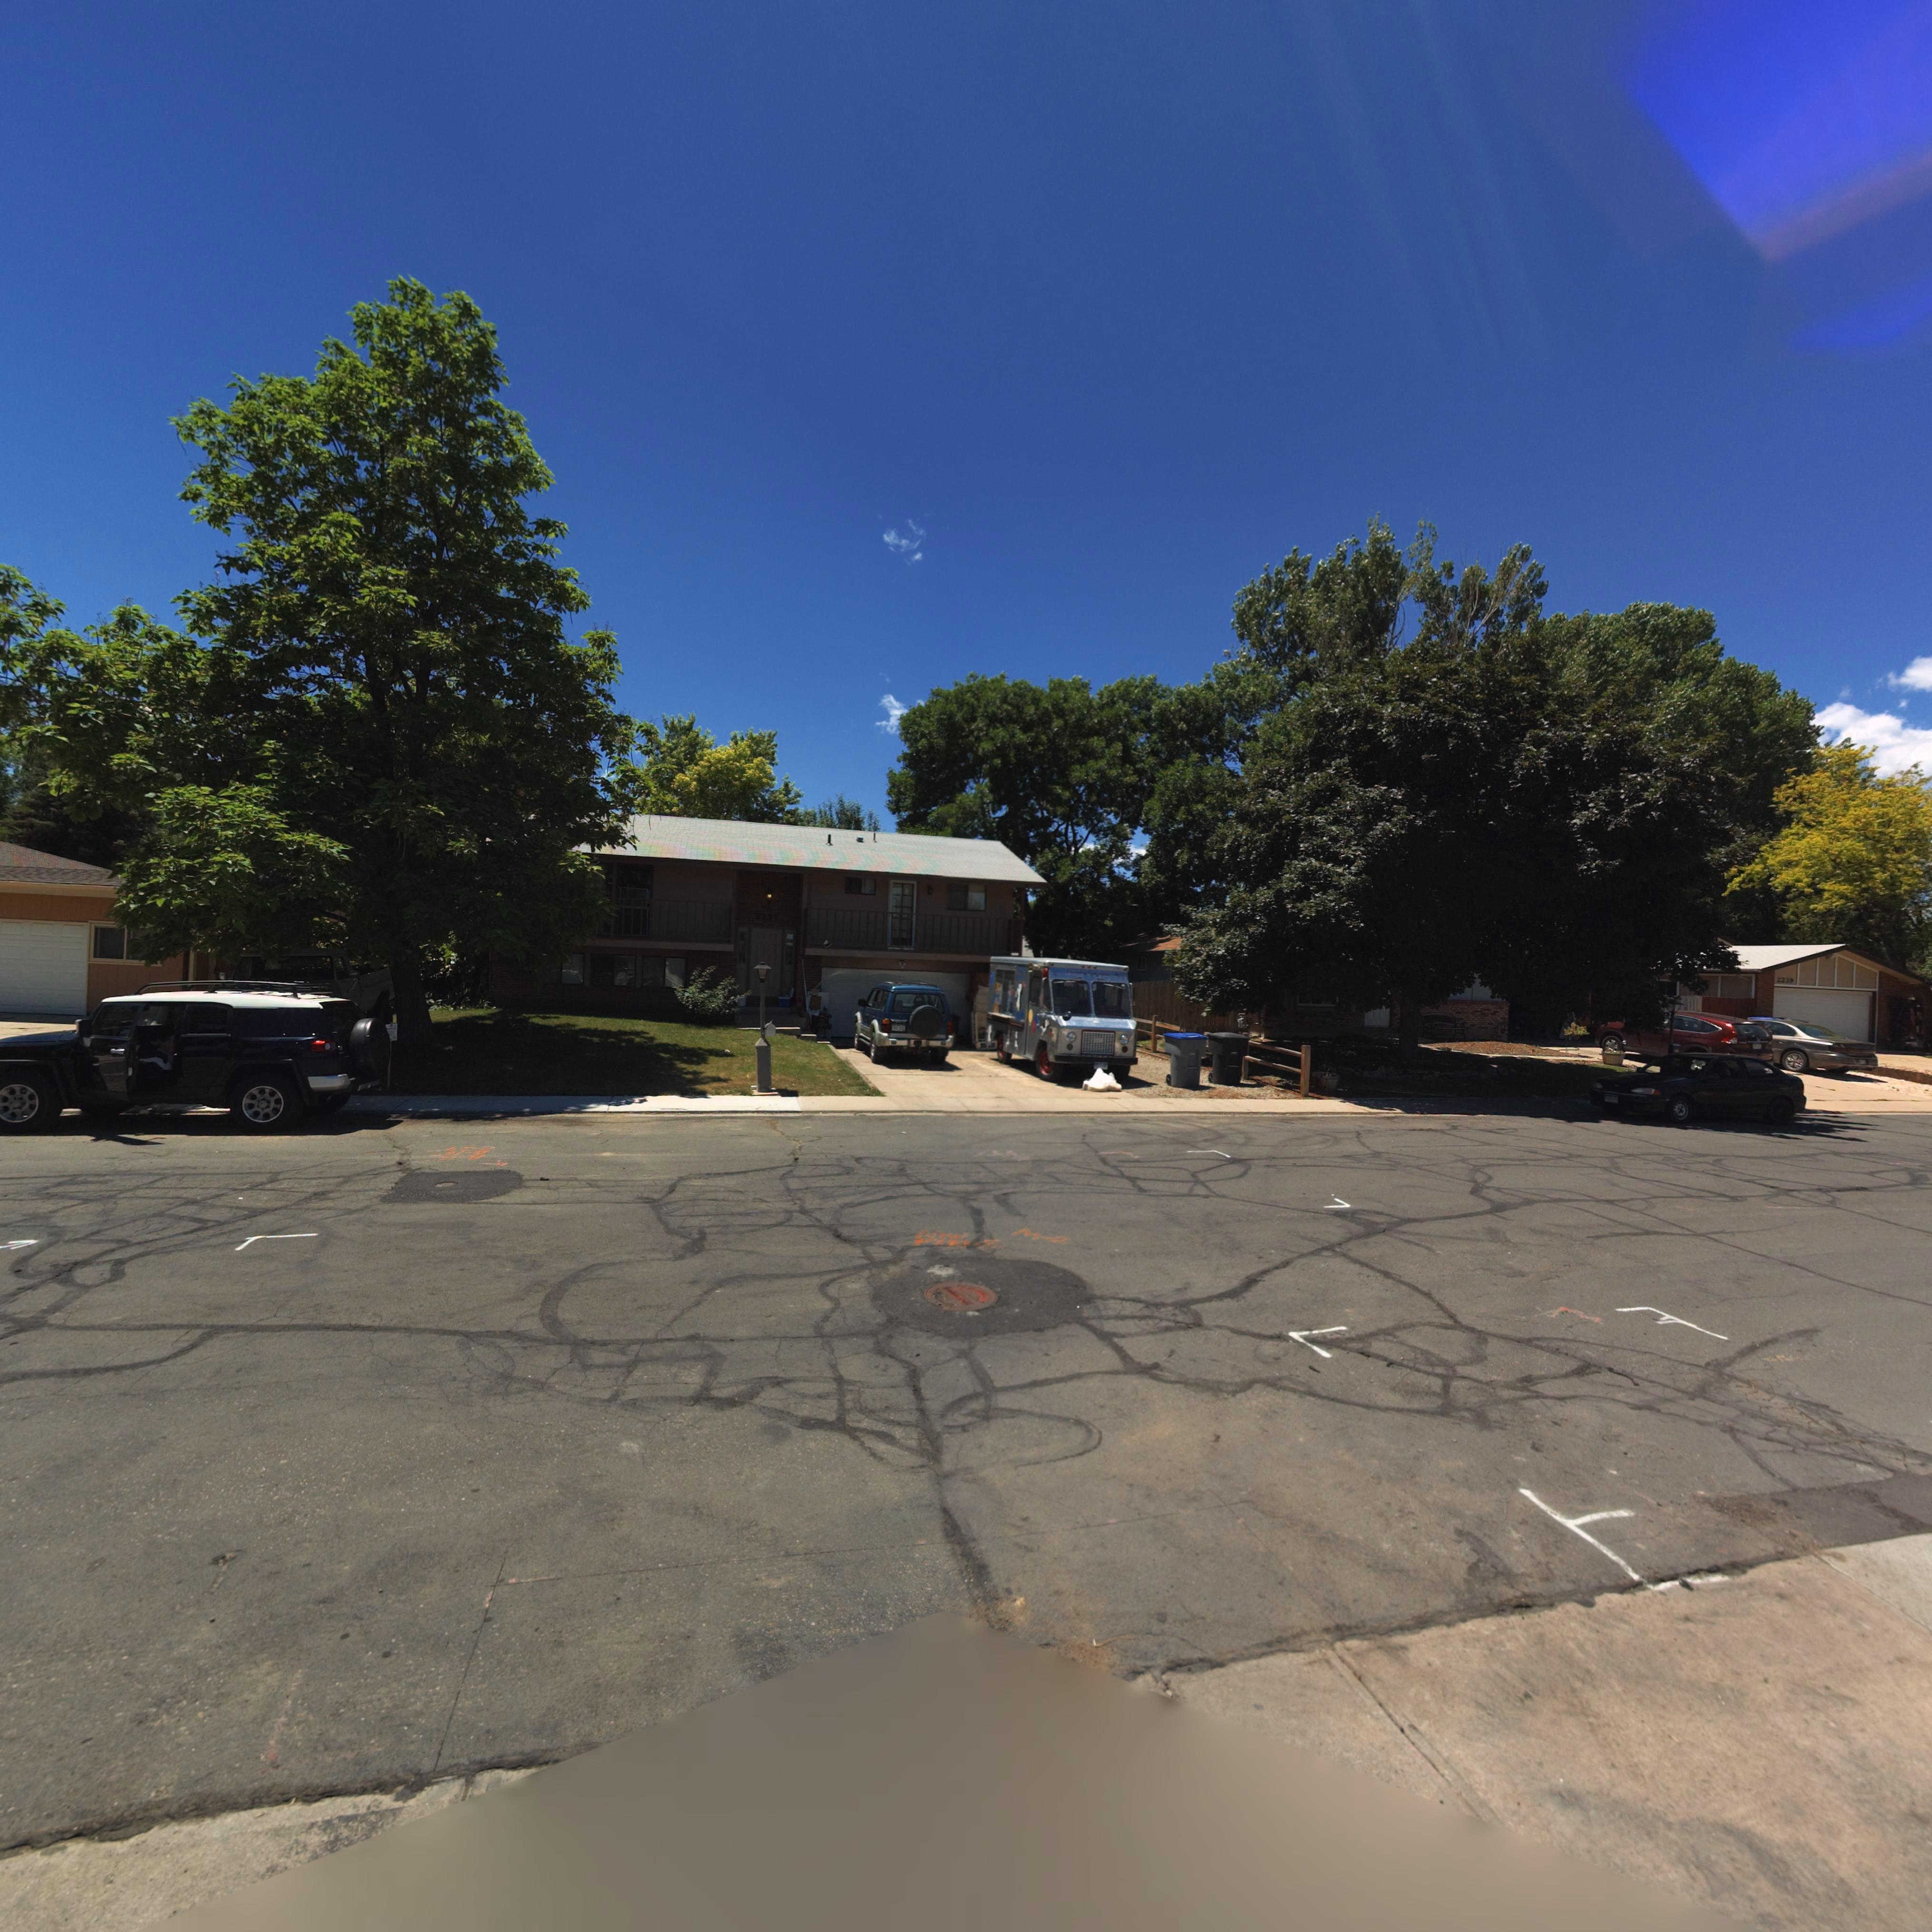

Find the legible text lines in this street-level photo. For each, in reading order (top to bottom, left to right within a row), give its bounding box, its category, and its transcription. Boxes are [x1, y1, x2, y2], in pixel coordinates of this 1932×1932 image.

[754, 912, 779, 921] StreetNumber: 2227
[1777, 977, 1794, 983] StreetNumber: 2239